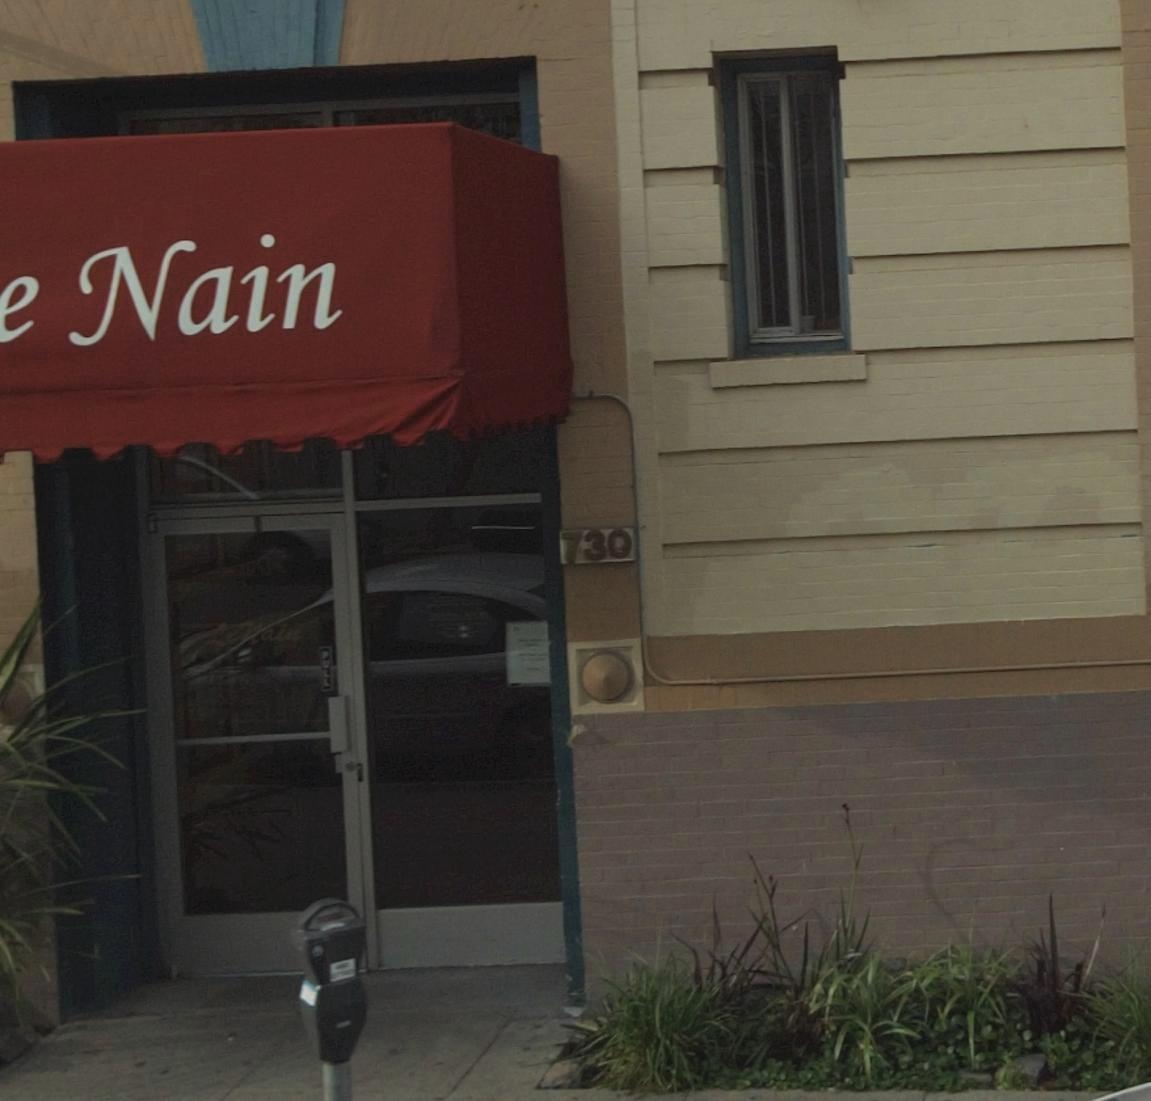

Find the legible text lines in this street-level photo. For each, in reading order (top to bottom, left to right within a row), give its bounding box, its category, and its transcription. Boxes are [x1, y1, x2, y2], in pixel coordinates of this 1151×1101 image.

[66, 230, 344, 348] BusinessName: Nain
[556, 527, 634, 566] StreetNumber: 730
[200, 620, 304, 650] BusinessName: LE *ain
[321, 649, 332, 688] None: PULL